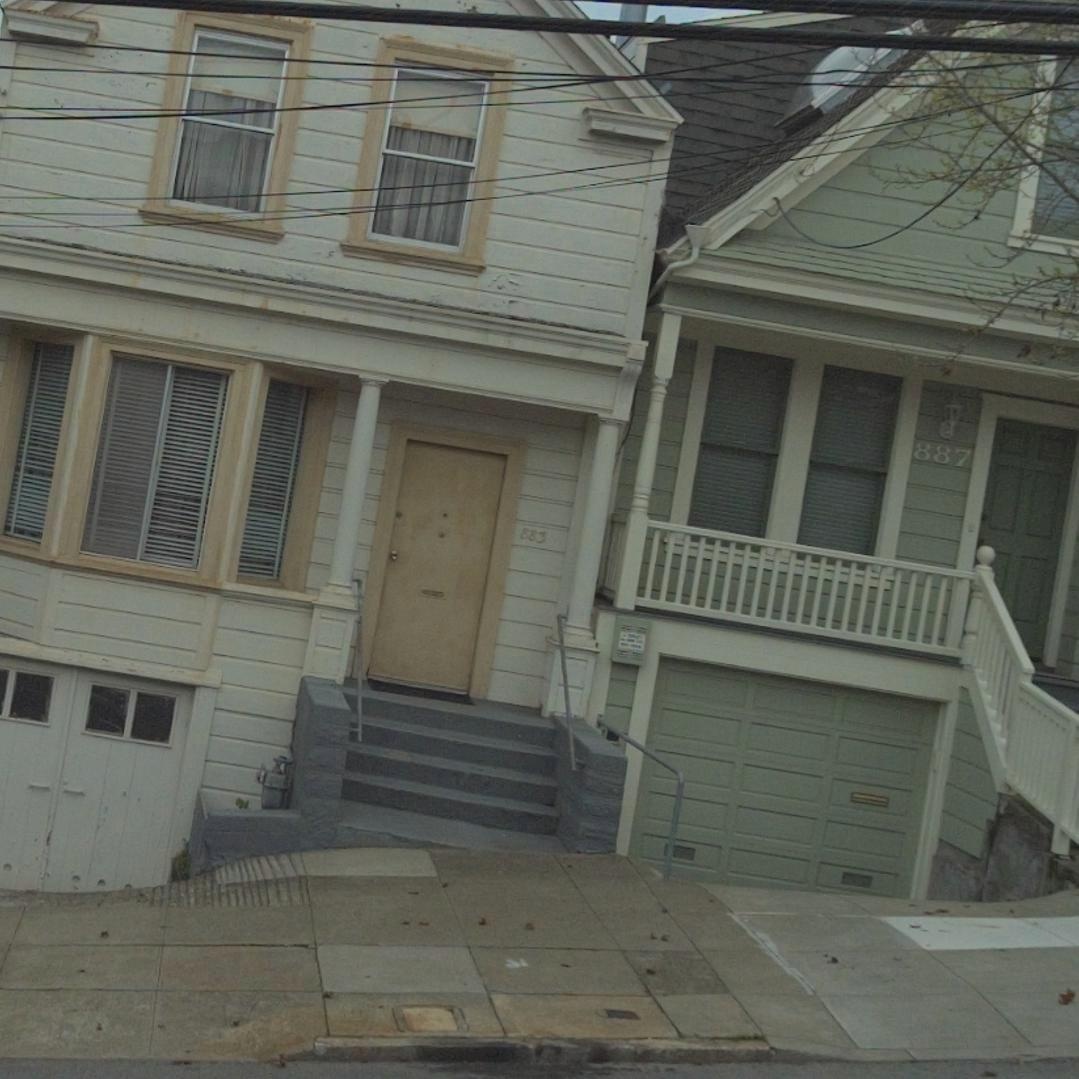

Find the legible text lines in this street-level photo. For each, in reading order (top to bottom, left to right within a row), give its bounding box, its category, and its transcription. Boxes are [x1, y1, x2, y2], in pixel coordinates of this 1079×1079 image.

[910, 438, 975, 468] StreetNumber: 887
[517, 525, 549, 546] StreetNumber: 883